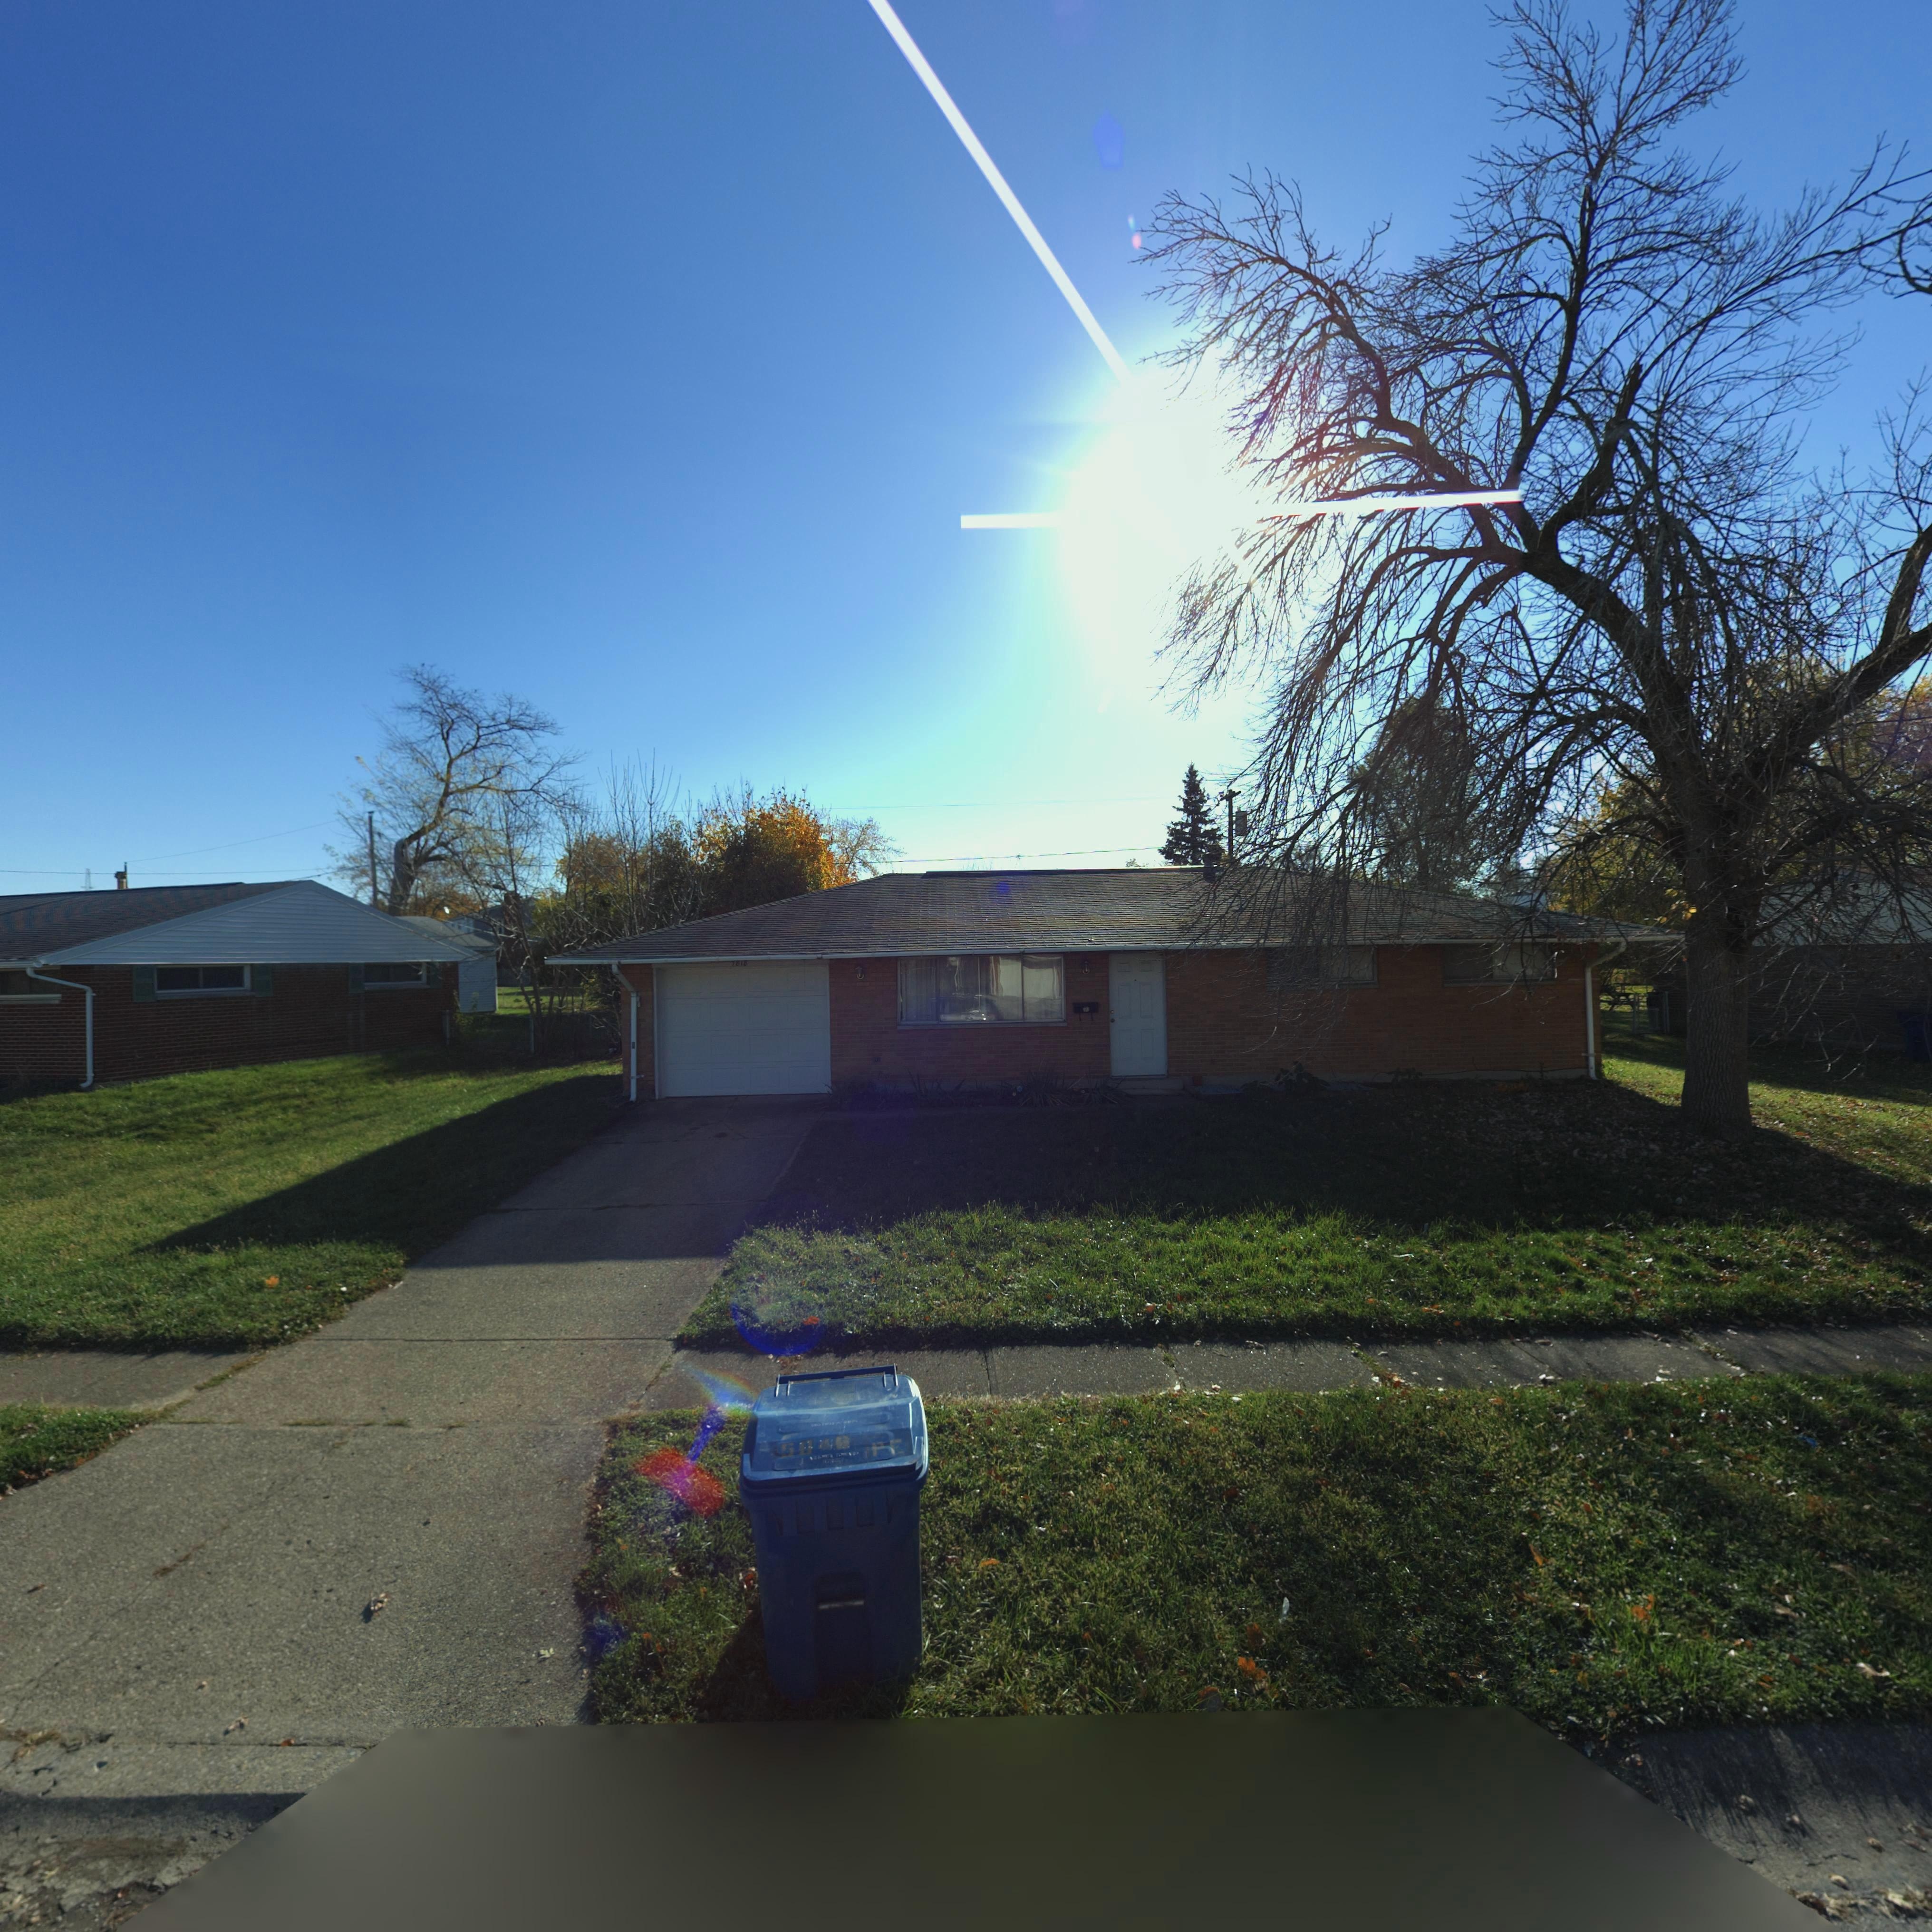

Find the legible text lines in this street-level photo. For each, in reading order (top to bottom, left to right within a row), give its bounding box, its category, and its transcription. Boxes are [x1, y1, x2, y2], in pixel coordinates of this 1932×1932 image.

[729, 959, 749, 968] StreetNumber: 781*